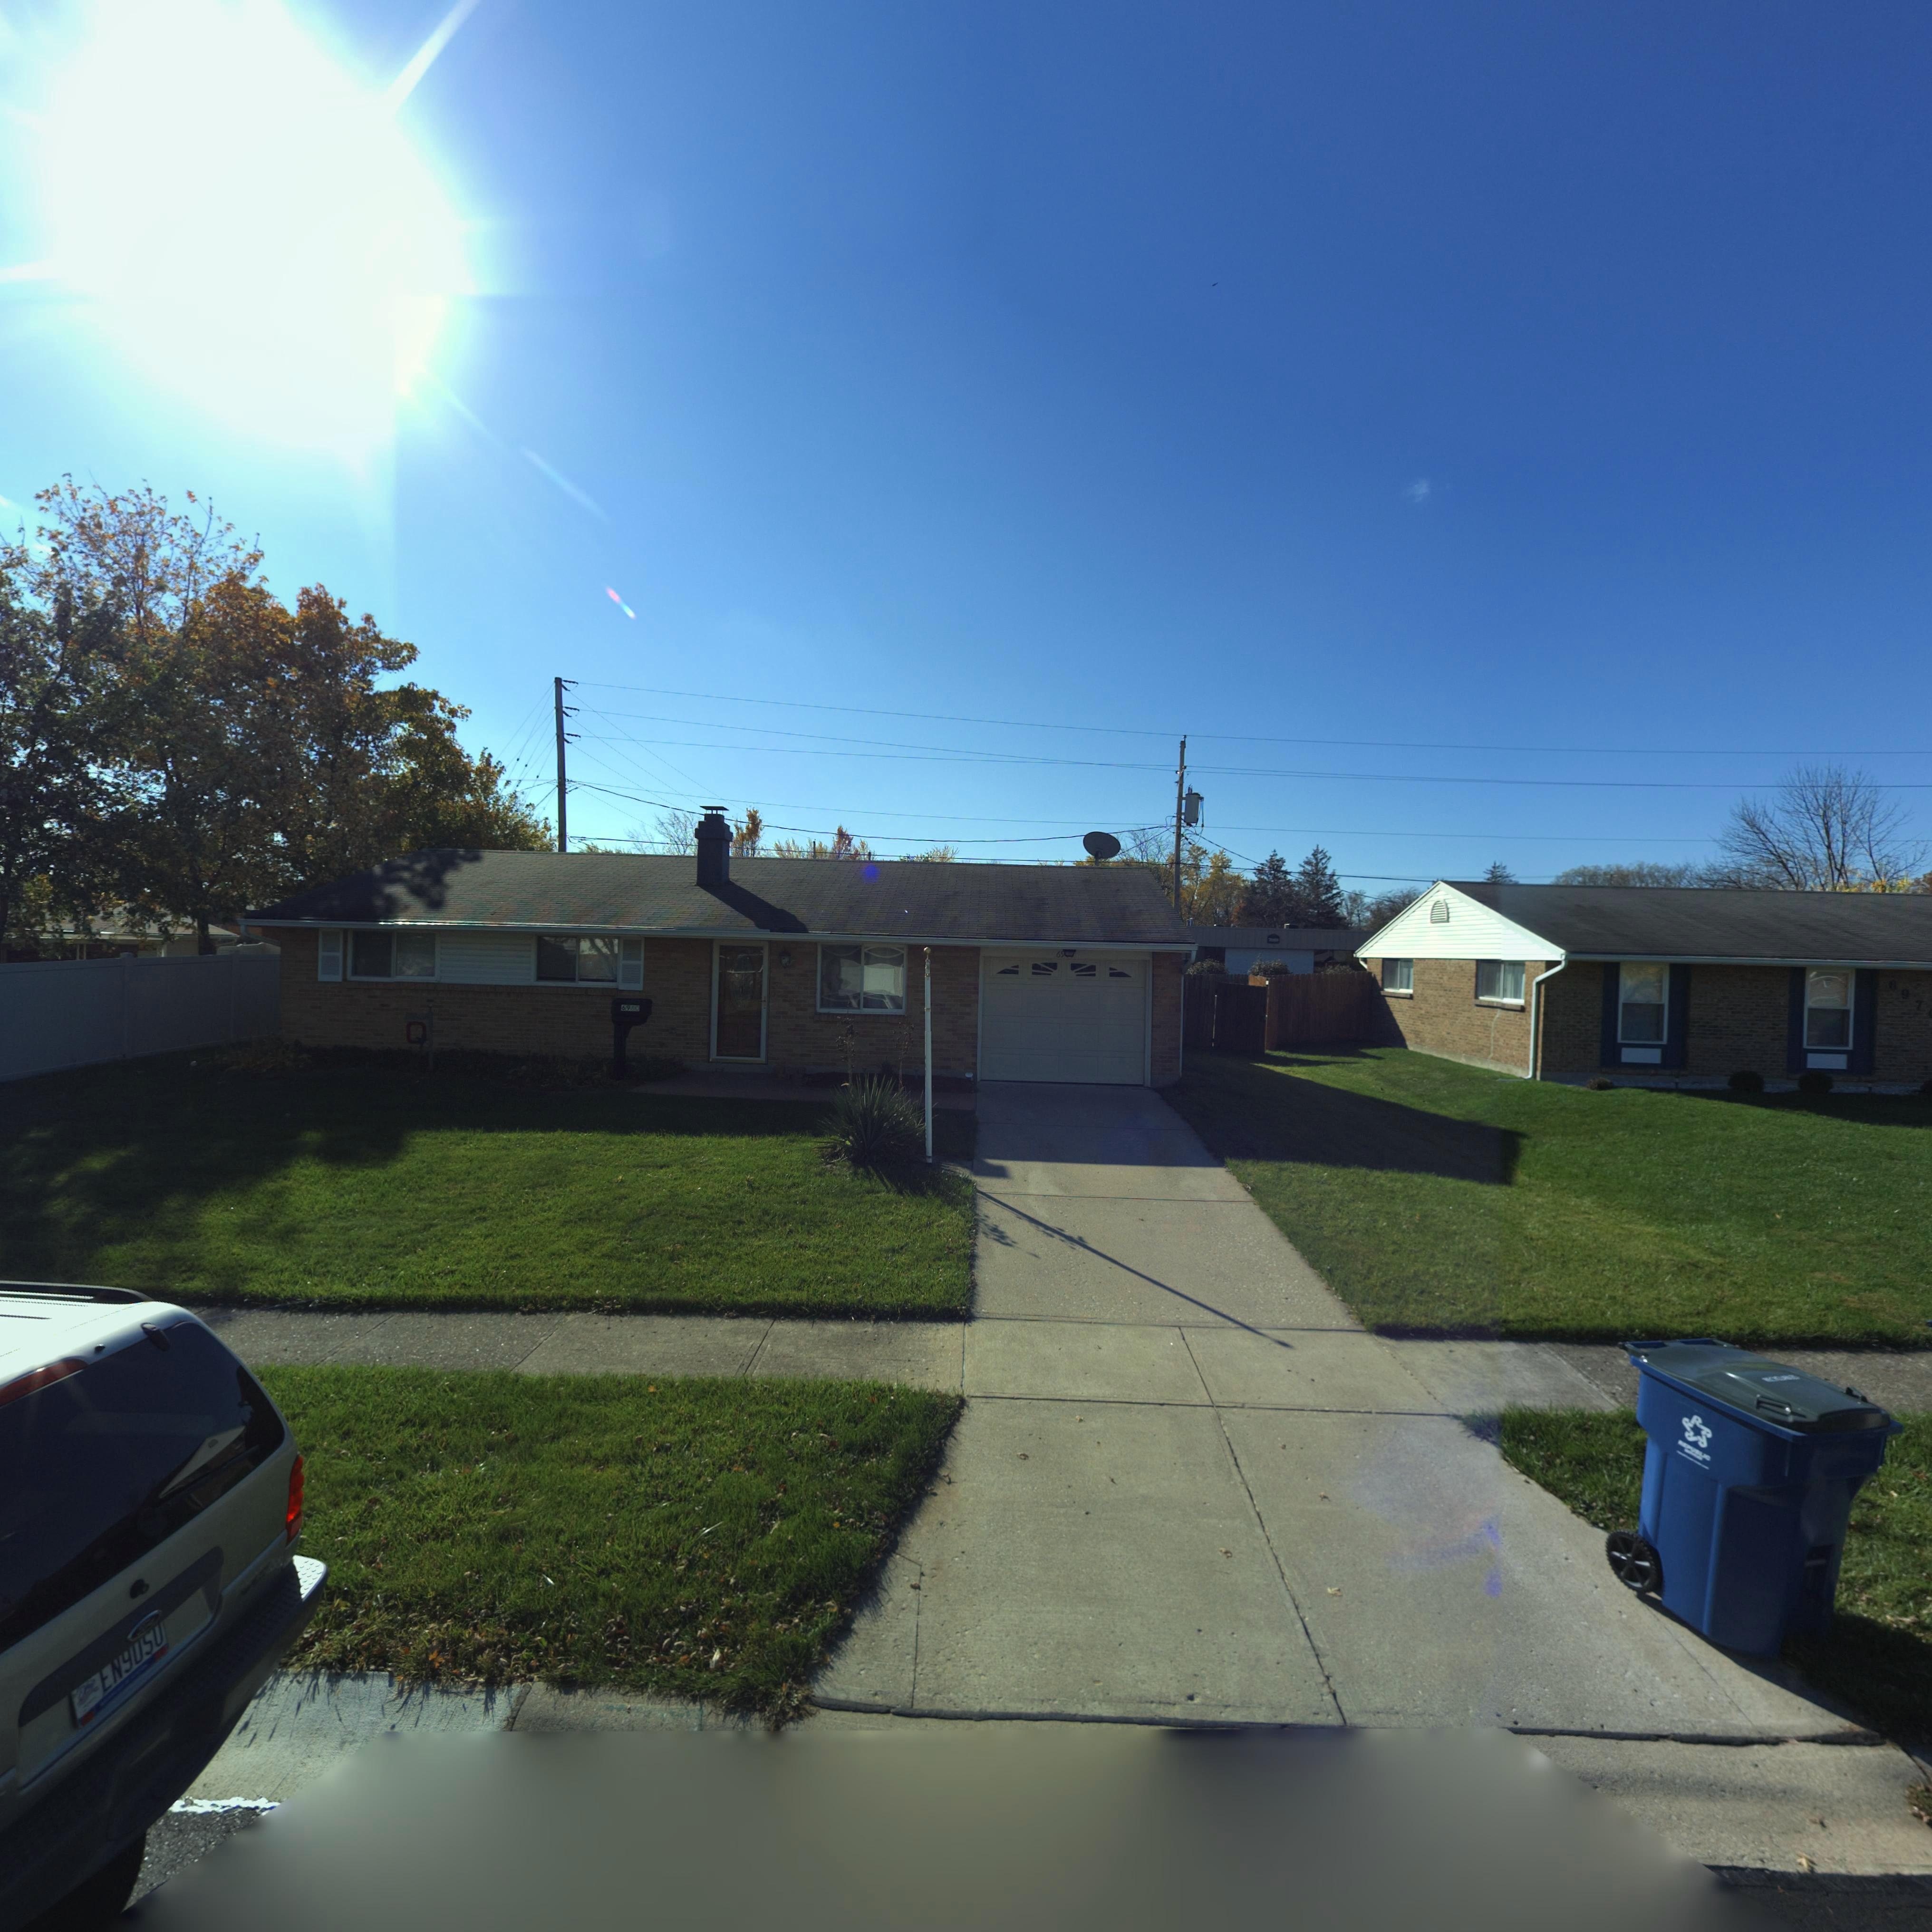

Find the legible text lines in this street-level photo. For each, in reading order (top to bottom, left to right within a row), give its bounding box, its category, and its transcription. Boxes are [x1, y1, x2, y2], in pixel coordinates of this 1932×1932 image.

[1055, 950, 1065, 958] StreetNumber: 69
[1888, 978, 1923, 1012] StreetNumber: 697
[620, 1005, 639, 1011] StreetNumber: 6980